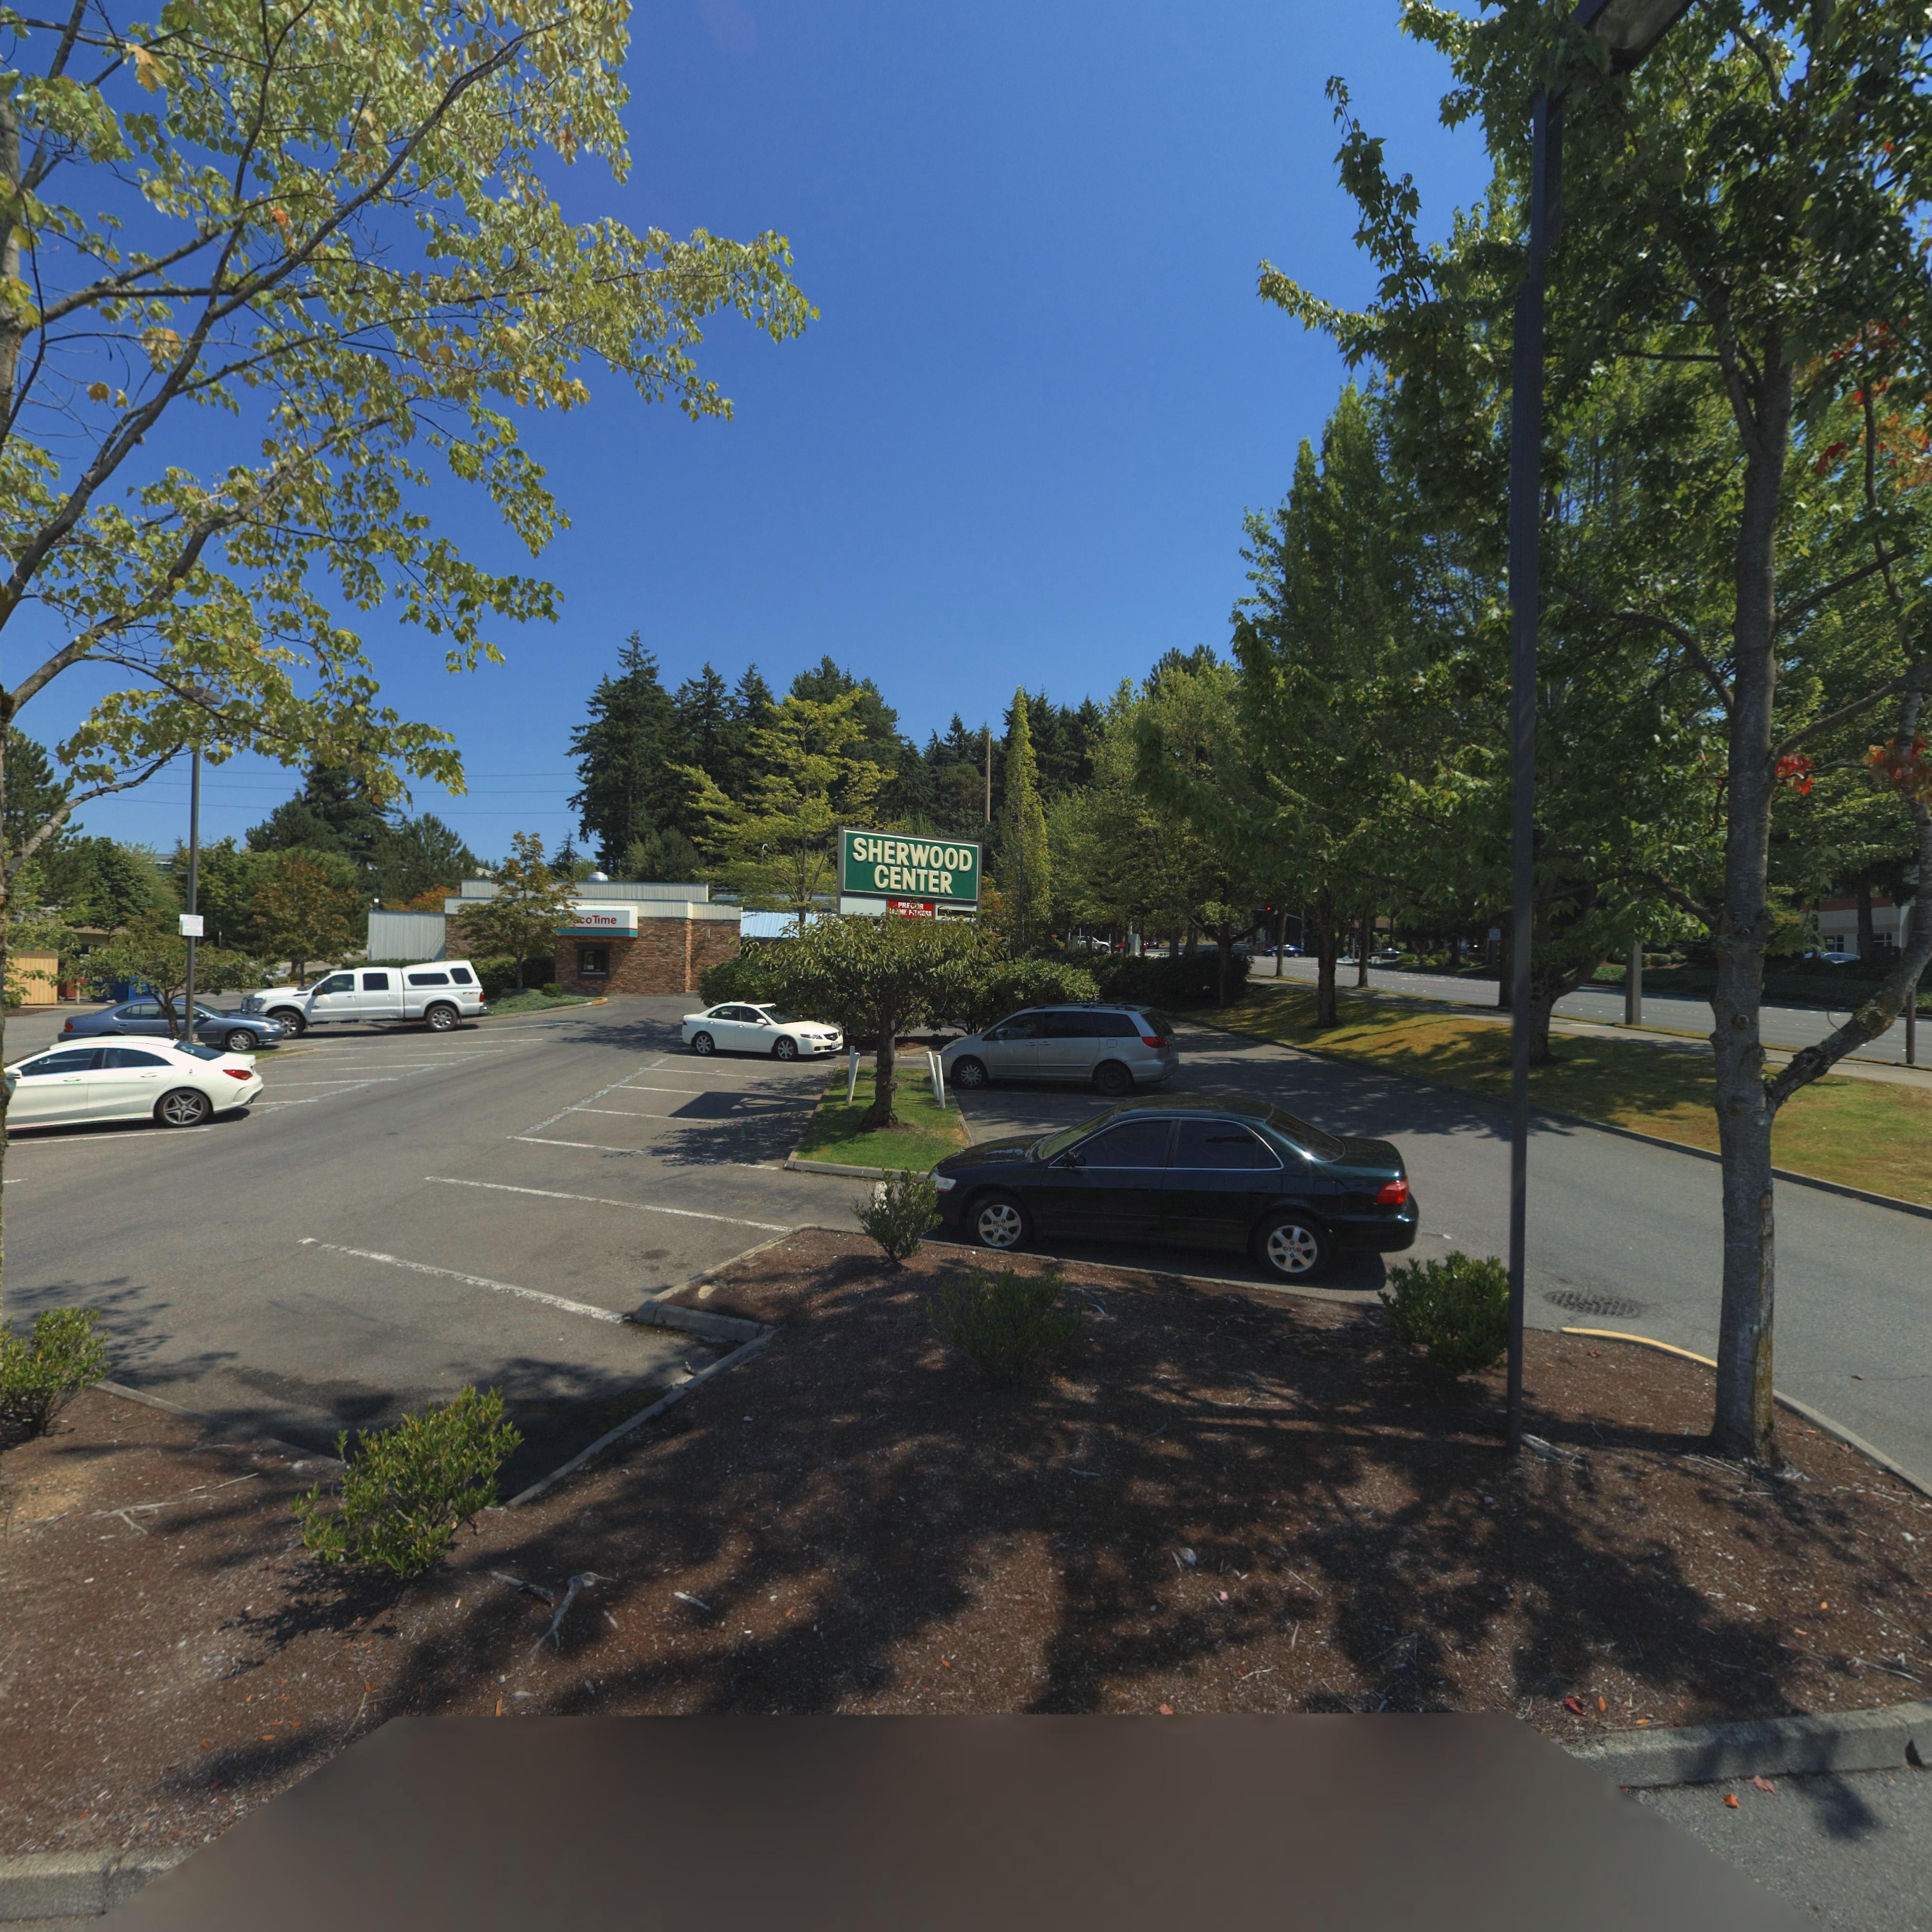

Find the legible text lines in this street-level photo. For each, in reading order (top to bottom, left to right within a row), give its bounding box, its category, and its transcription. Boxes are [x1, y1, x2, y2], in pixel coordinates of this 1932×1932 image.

[898, 901, 924, 909] BusinessName: PRE***
[579, 915, 617, 925] BusinessName: **coTime